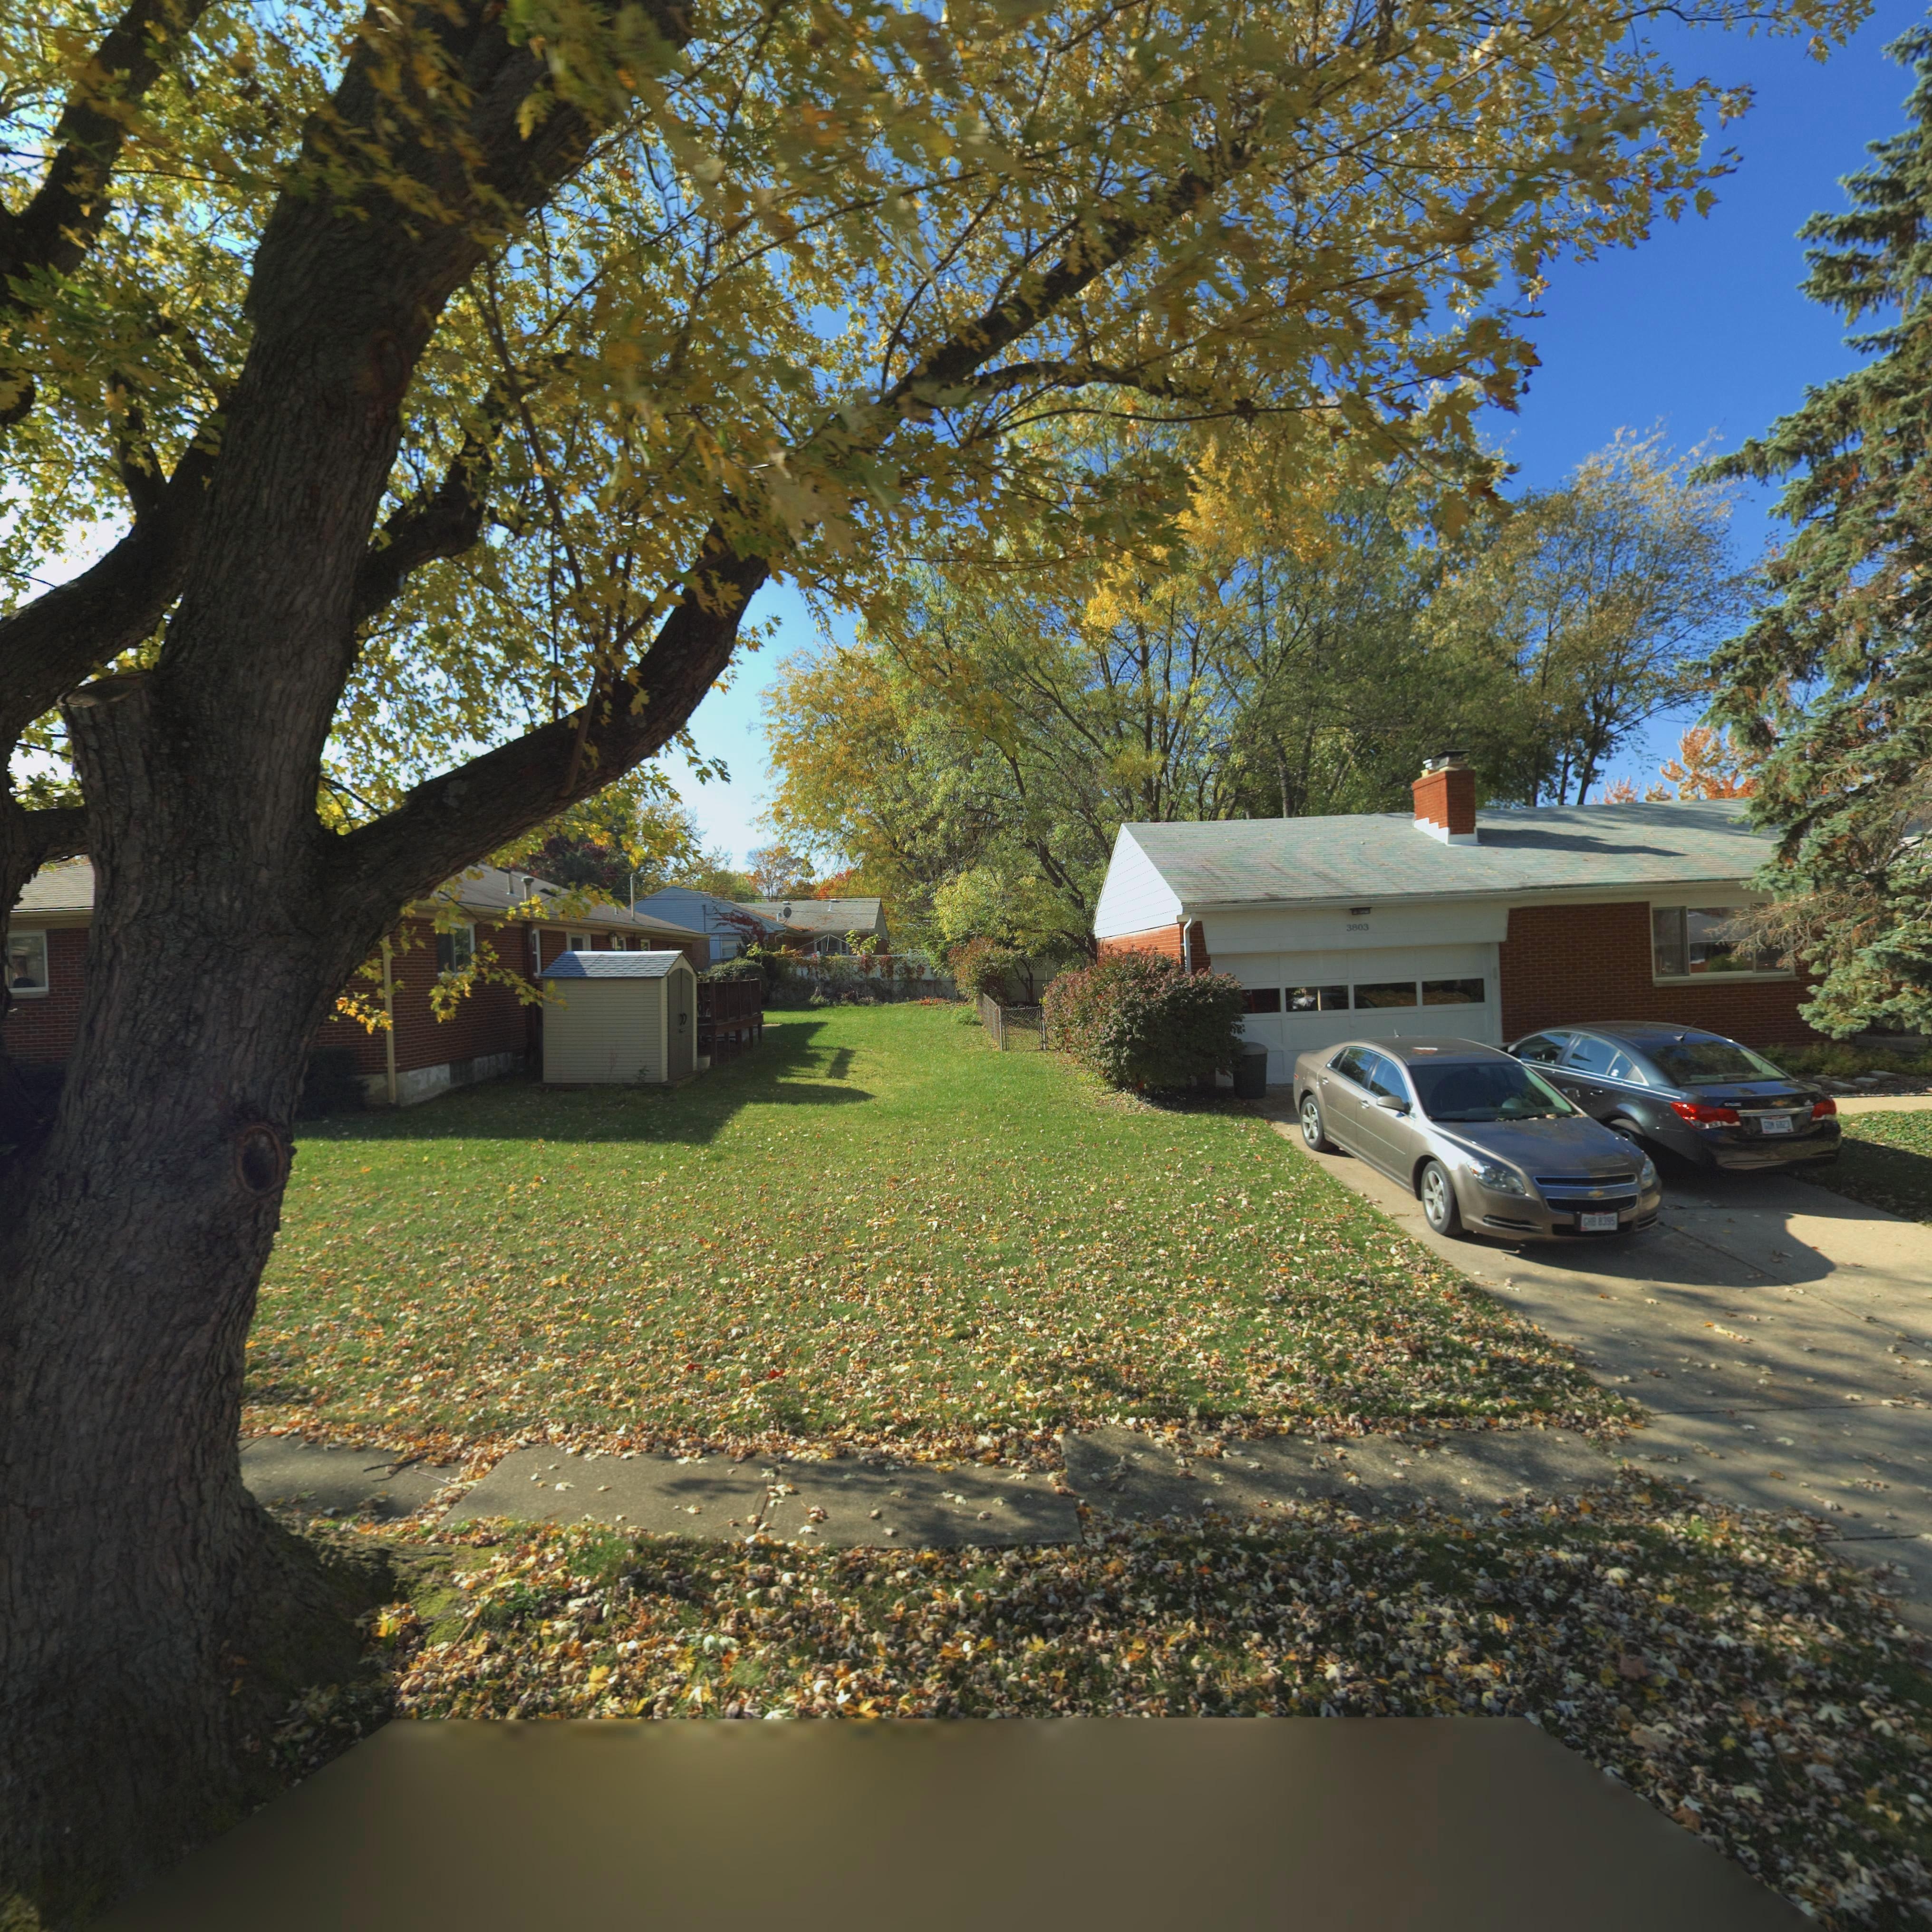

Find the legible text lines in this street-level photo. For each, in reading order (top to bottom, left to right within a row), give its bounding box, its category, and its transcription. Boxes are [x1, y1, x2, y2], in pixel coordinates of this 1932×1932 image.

[1345, 923, 1369, 932] StreetNumber: 3803
[1723, 1101, 1741, 1106] None: CRUZE
[1805, 1098, 1811, 1103] None: LT
[1762, 1120, 1793, 1130] None: GDM 6823